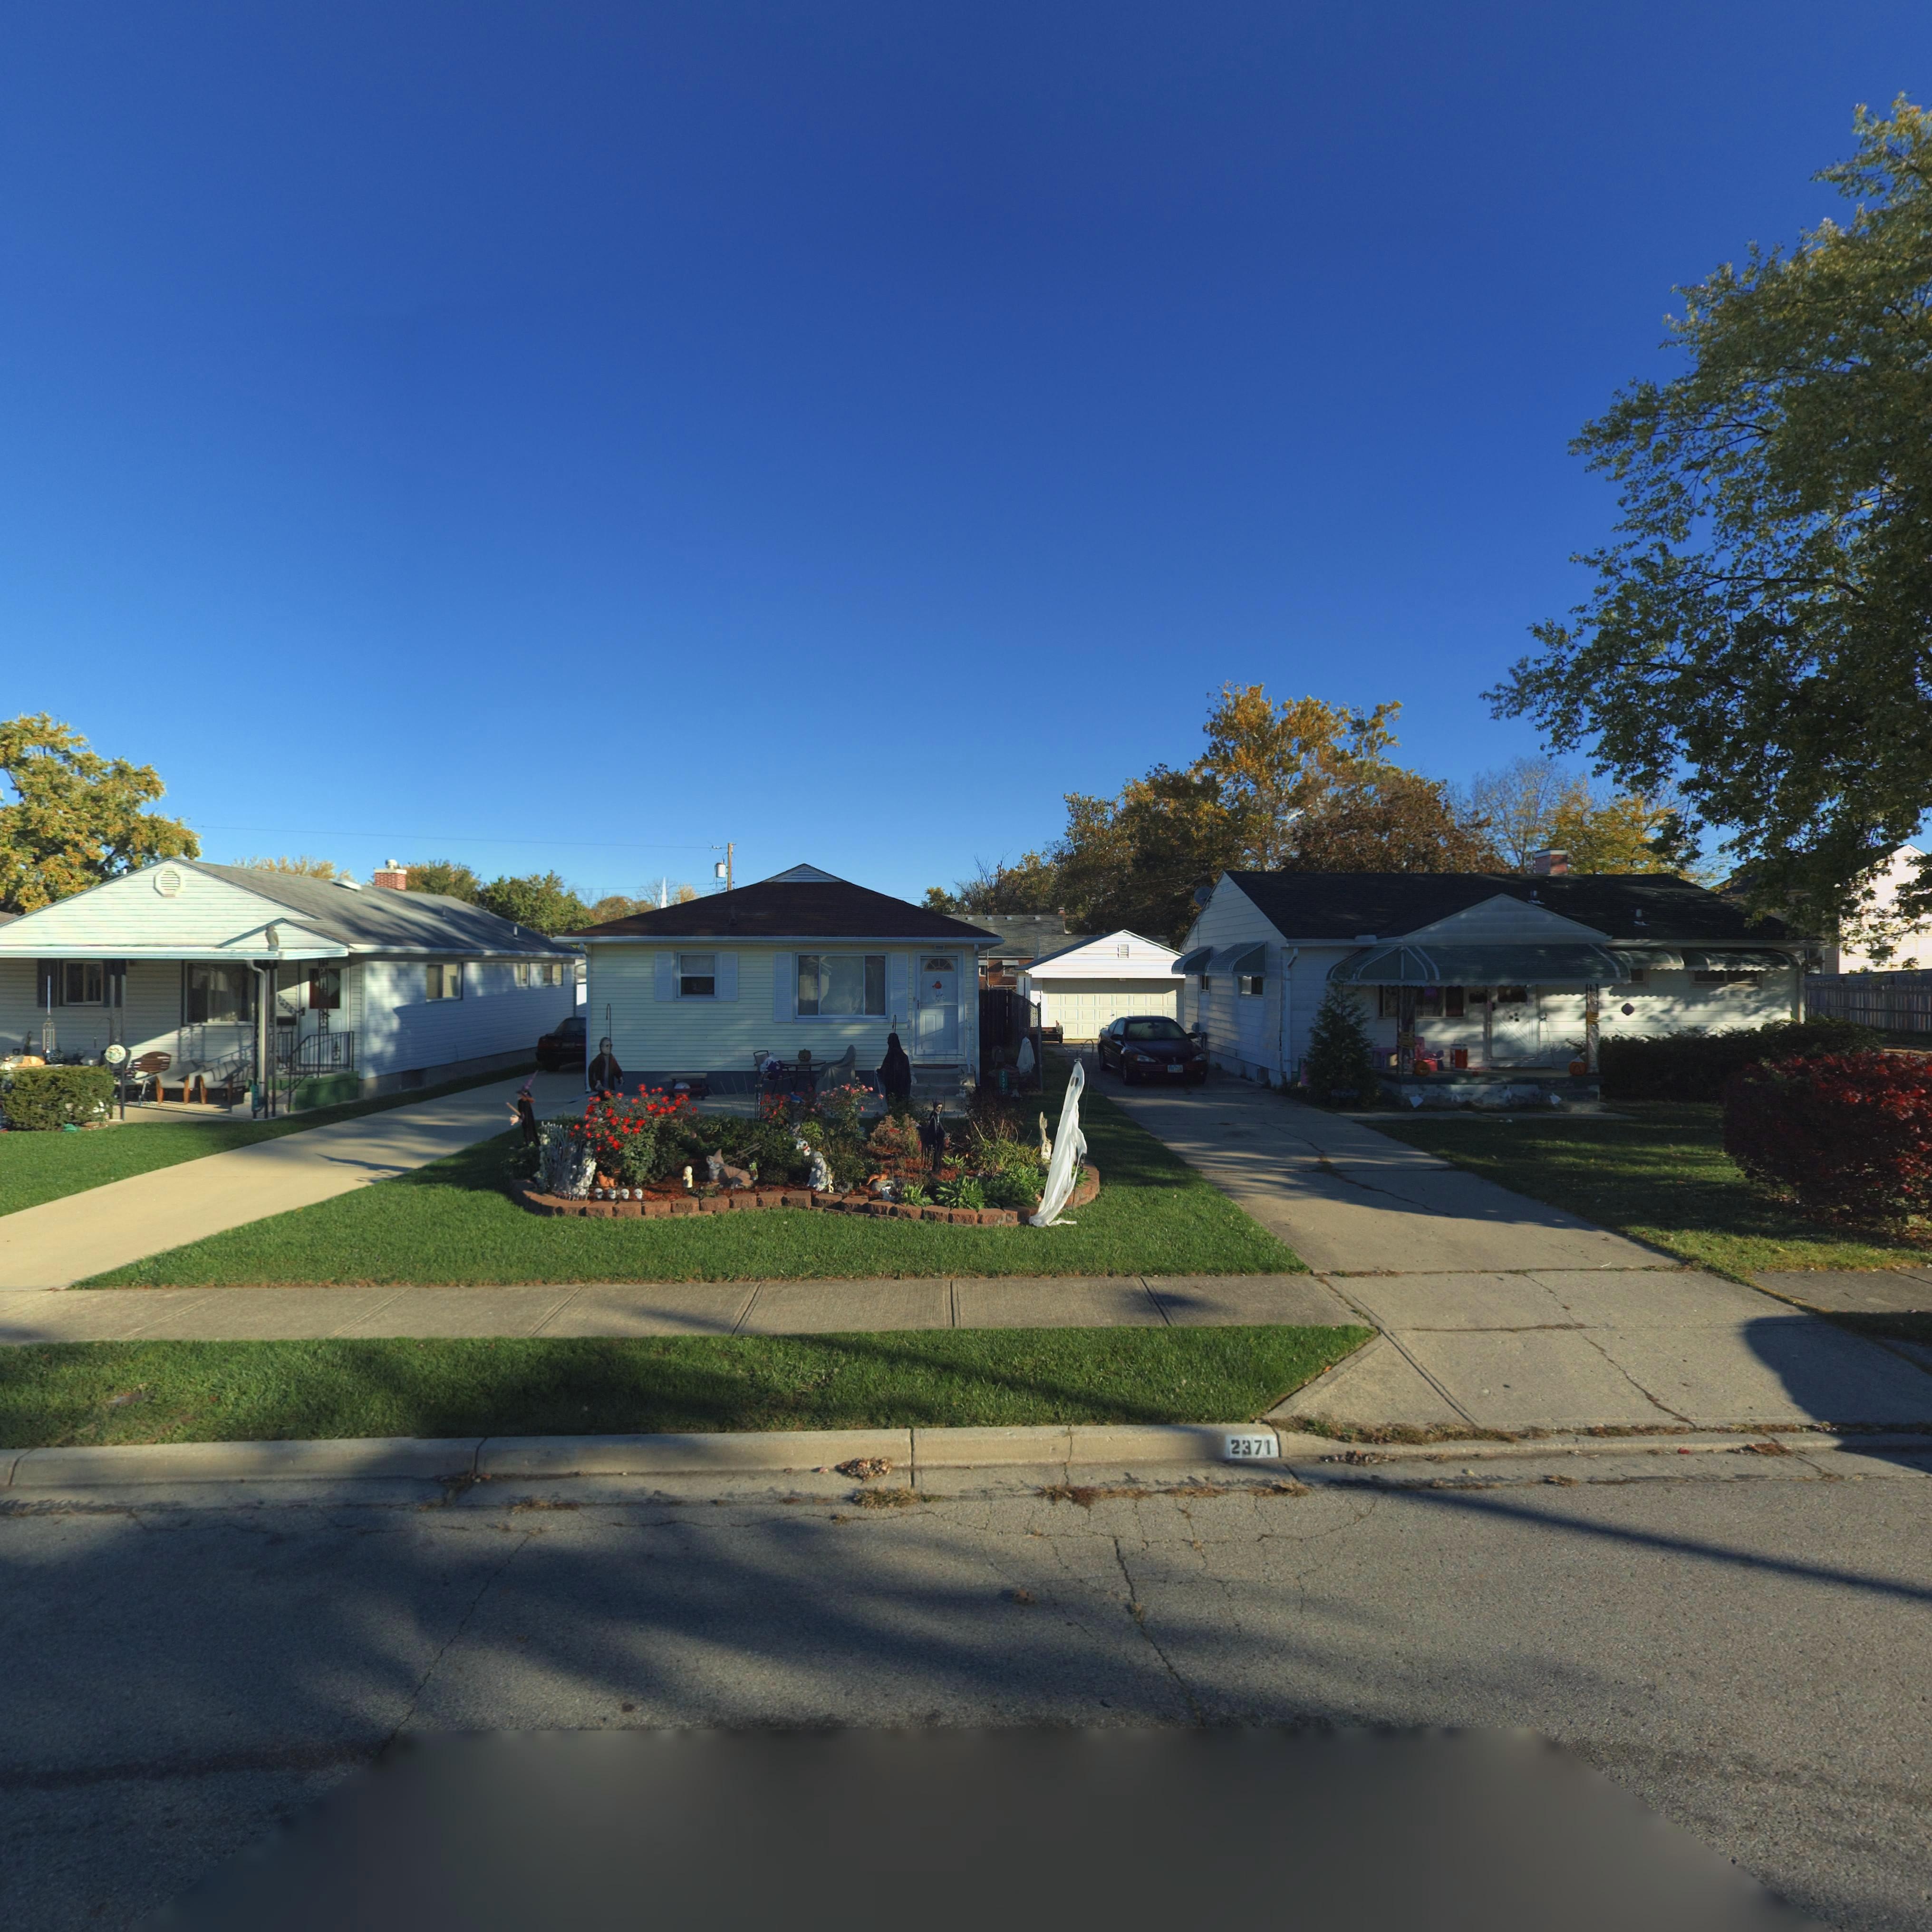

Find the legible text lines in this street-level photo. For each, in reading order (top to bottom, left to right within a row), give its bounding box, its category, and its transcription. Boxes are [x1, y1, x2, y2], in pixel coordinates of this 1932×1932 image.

[1001, 1070, 1005, 1088] StreetNumber: 237
[1230, 1439, 1272, 1455] StreetNumber: 2371